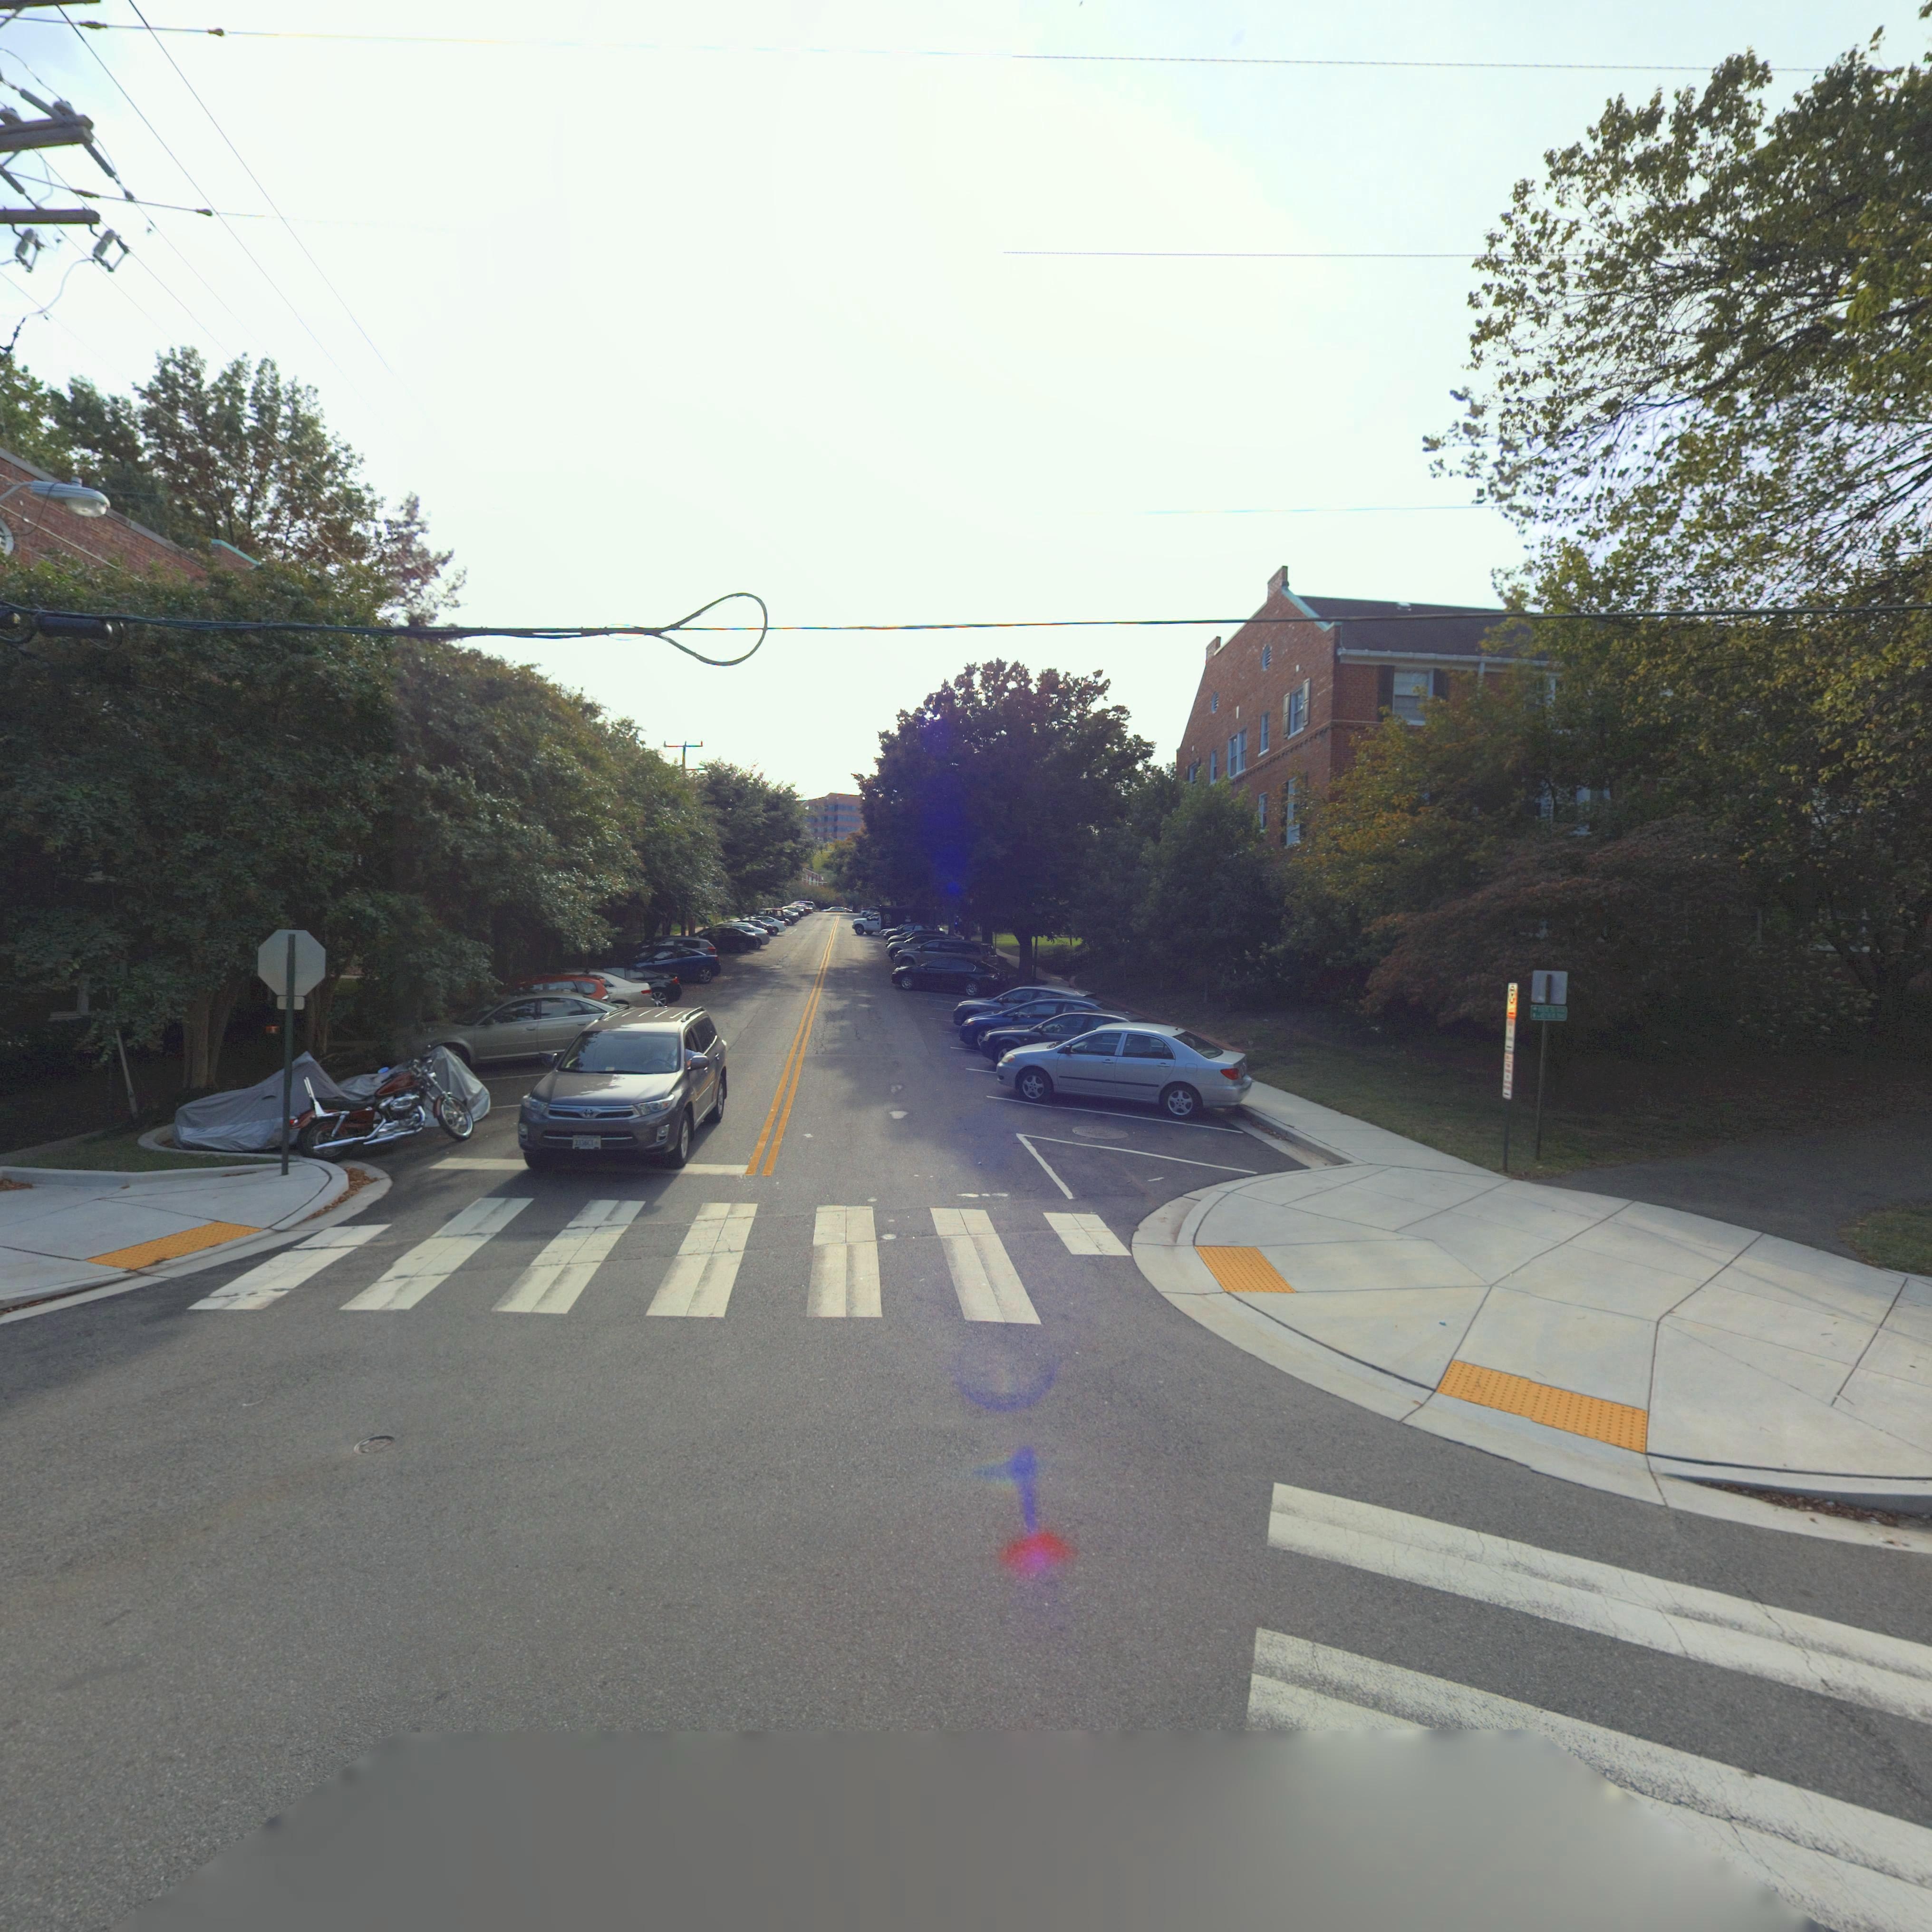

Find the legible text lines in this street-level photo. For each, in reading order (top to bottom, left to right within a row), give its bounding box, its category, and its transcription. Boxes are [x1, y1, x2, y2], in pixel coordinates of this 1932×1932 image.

[577, 1139, 595, 1147] None: 336CT